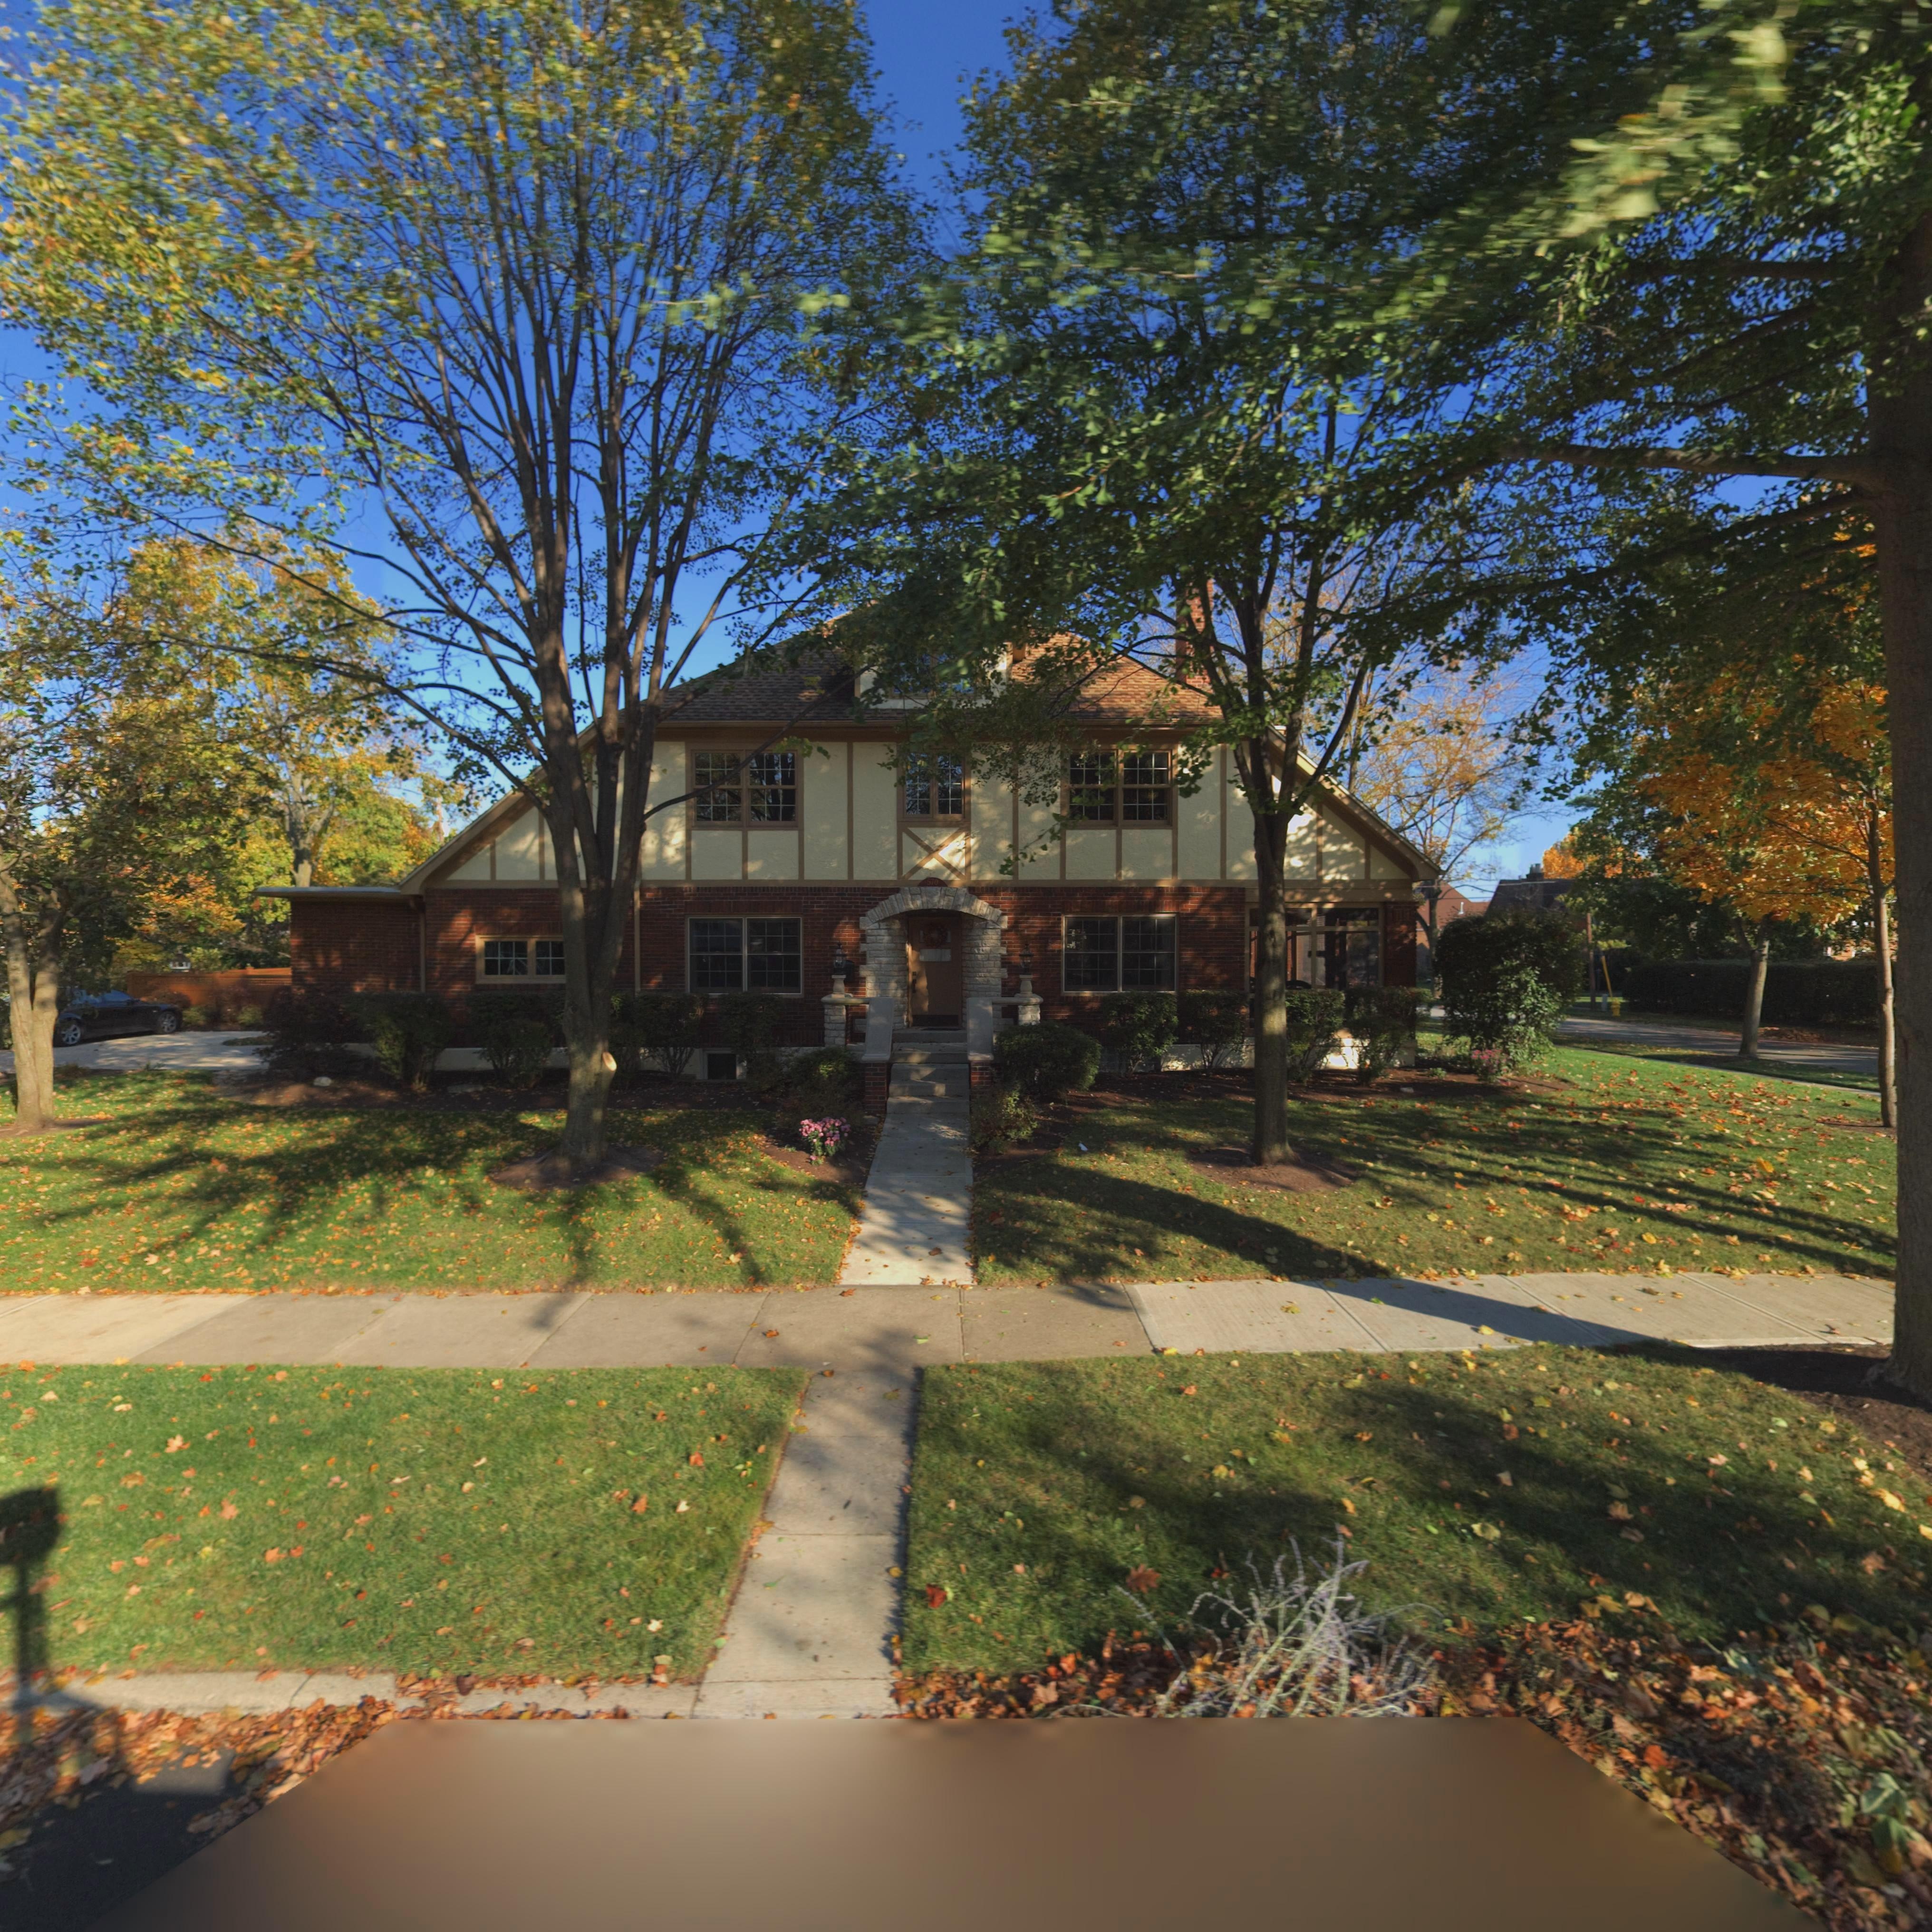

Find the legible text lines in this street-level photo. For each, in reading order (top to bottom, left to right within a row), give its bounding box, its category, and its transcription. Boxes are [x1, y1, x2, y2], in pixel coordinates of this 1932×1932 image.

[926, 878, 939, 886] StreetNumber: 570